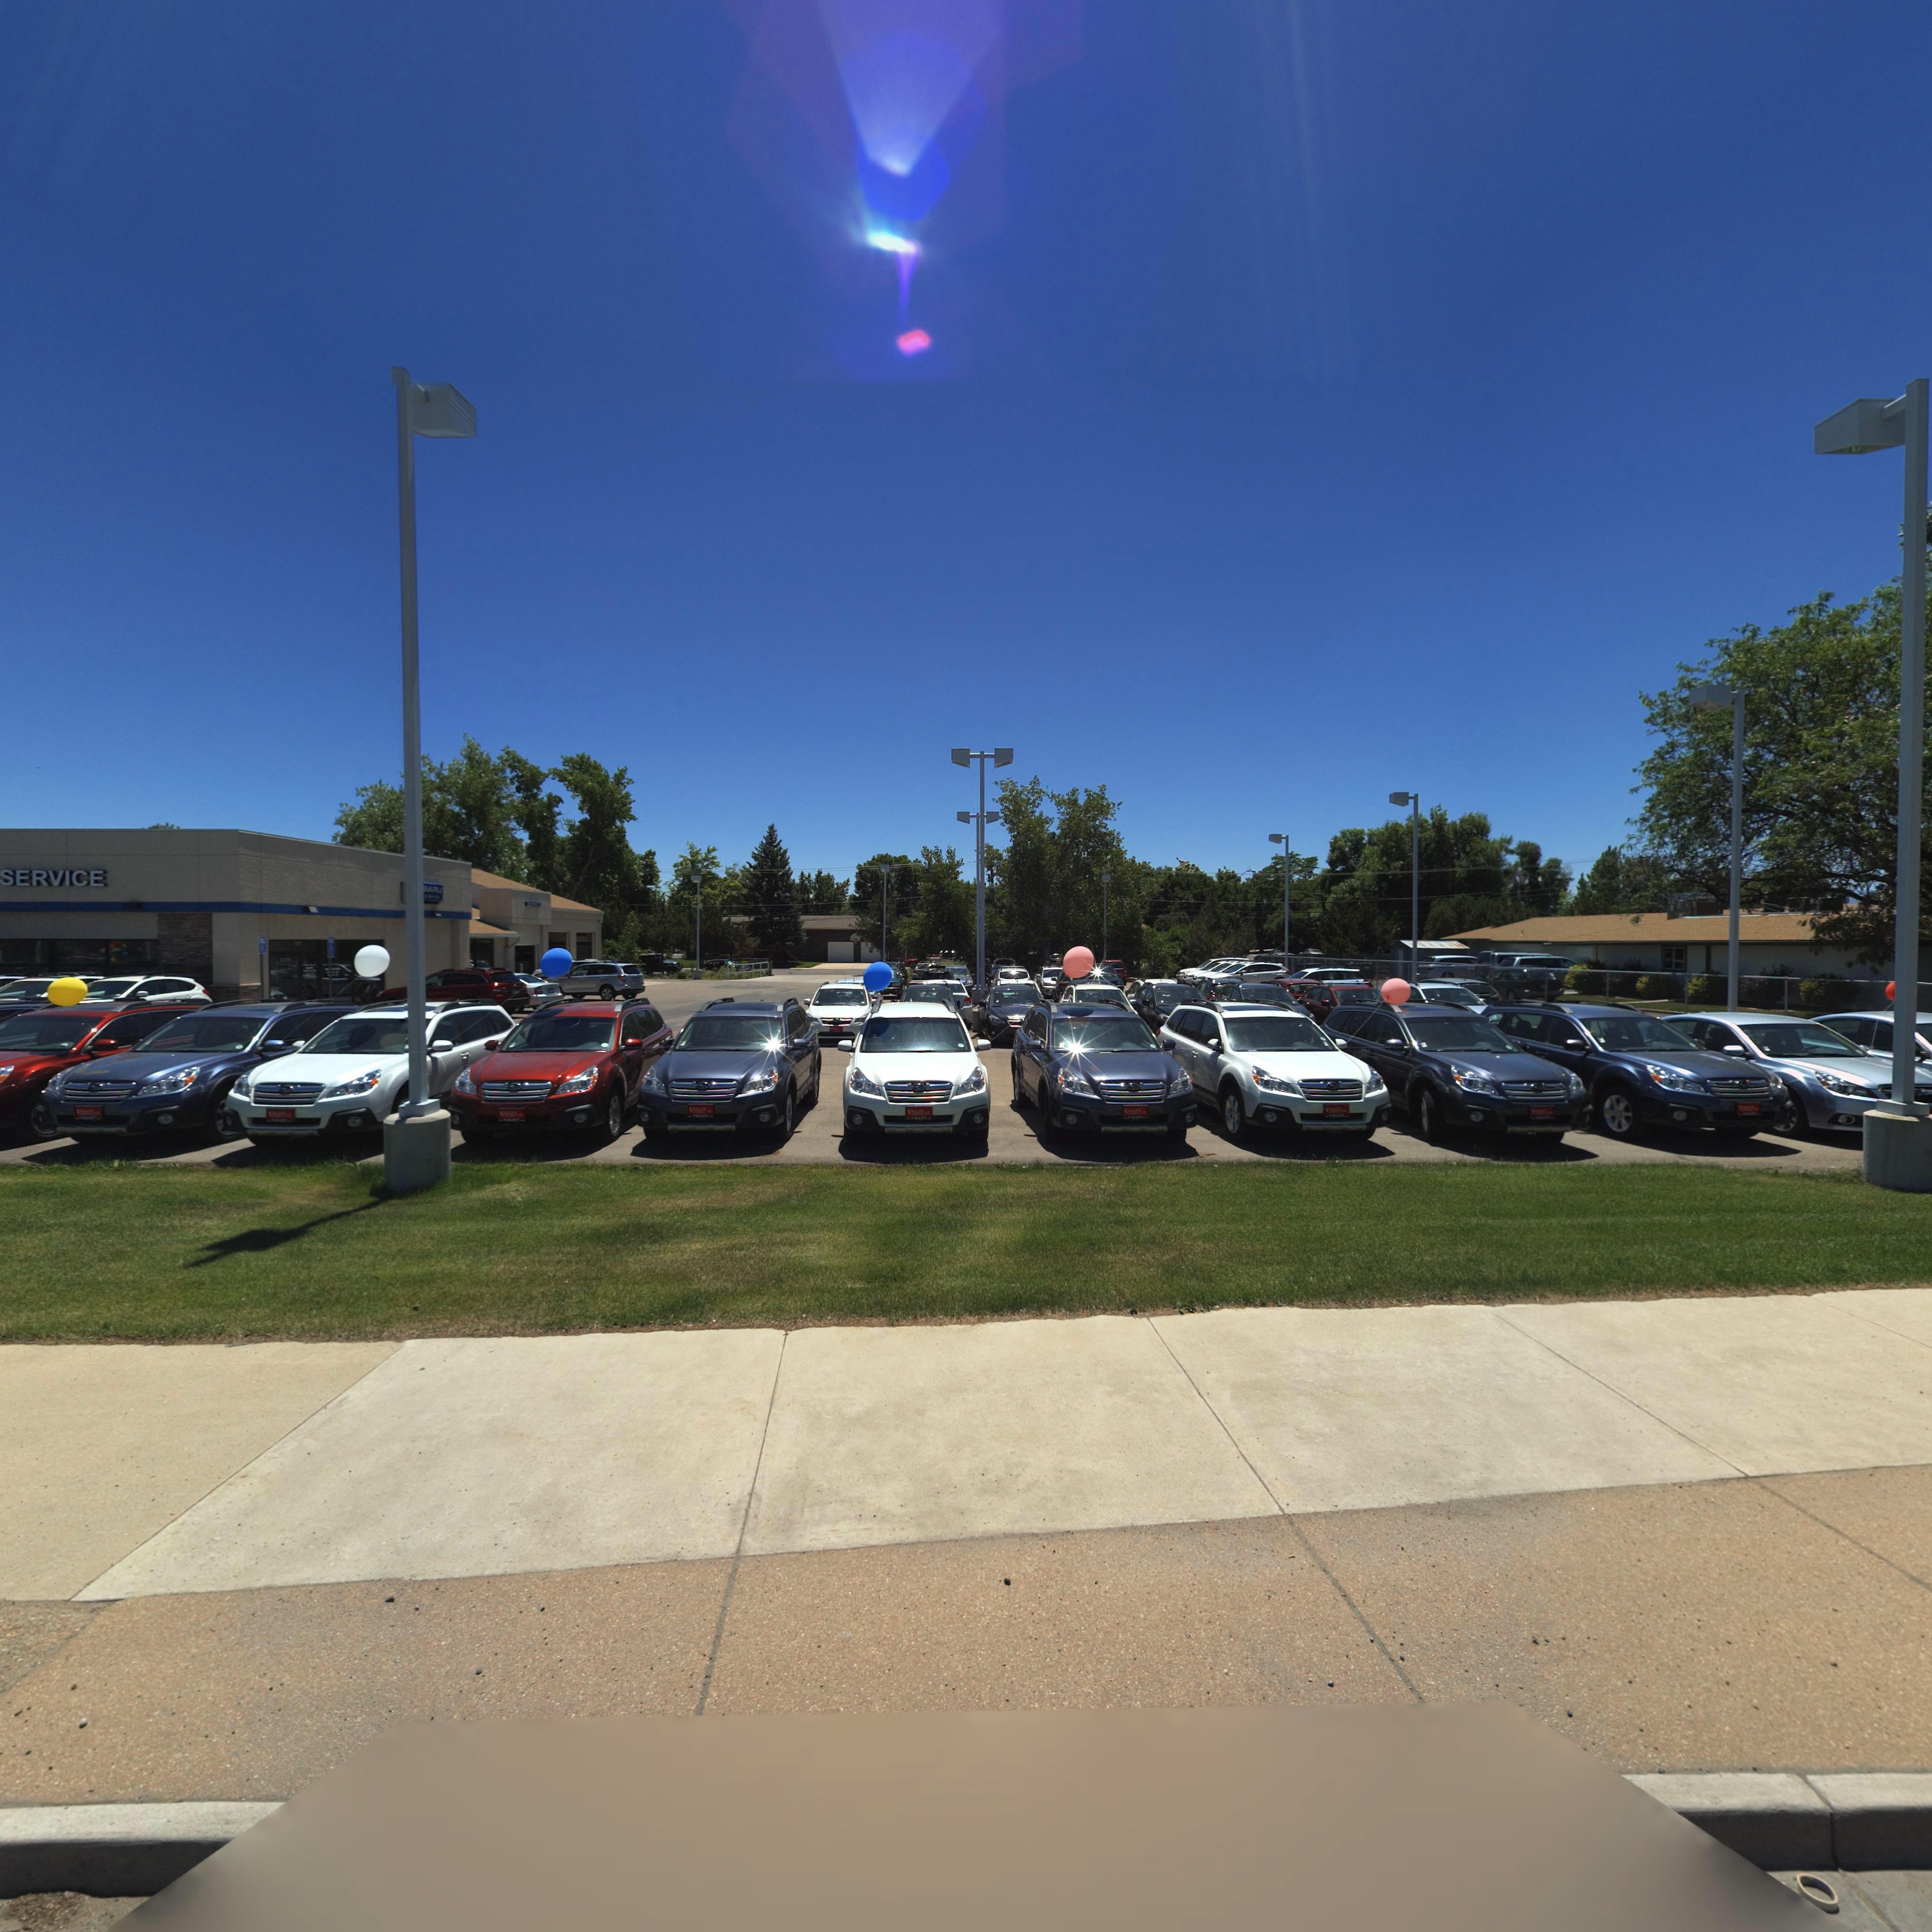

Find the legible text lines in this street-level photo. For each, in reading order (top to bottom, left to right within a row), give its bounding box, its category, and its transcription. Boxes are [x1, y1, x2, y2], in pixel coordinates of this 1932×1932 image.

[0, 869, 105, 887] BusinessName: SERVICE
[424, 885, 442, 893] BusinessName: BARU